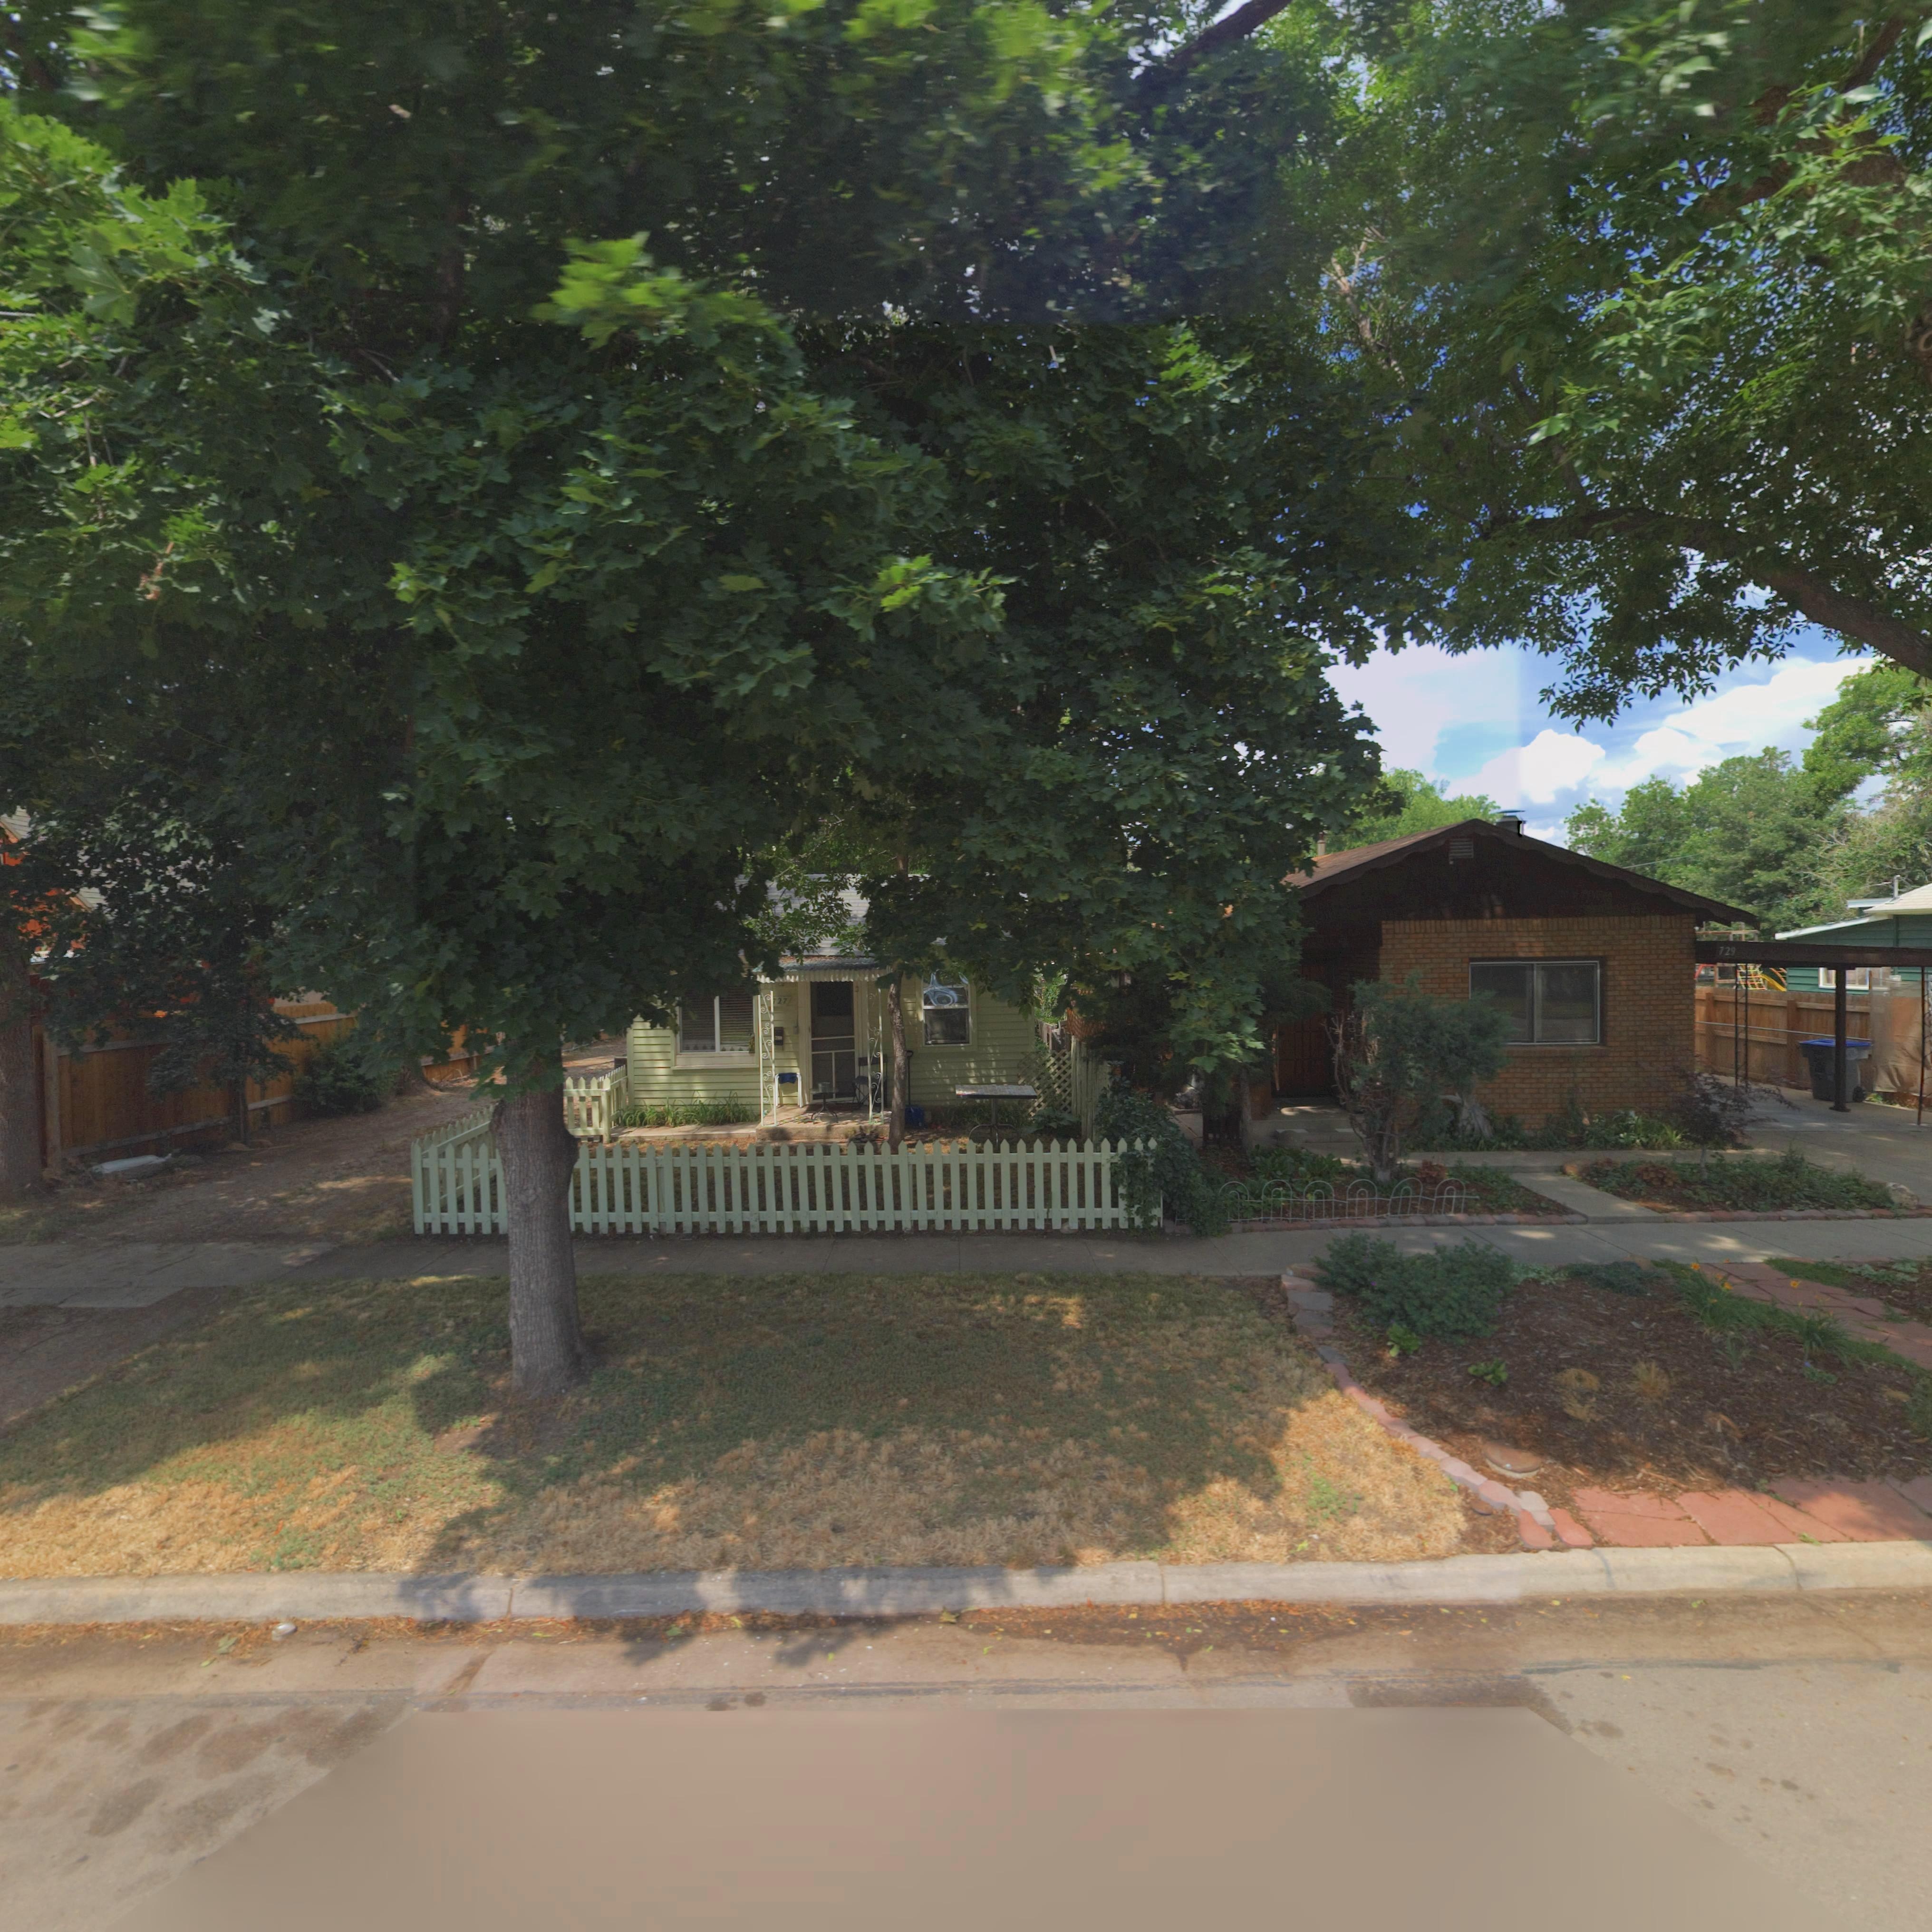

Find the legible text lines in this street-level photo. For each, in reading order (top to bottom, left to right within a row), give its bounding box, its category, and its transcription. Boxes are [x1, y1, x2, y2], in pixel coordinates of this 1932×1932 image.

[1718, 946, 1736, 956] StreetNumber: 729
[773, 998, 787, 1004] StreetNumber: 727